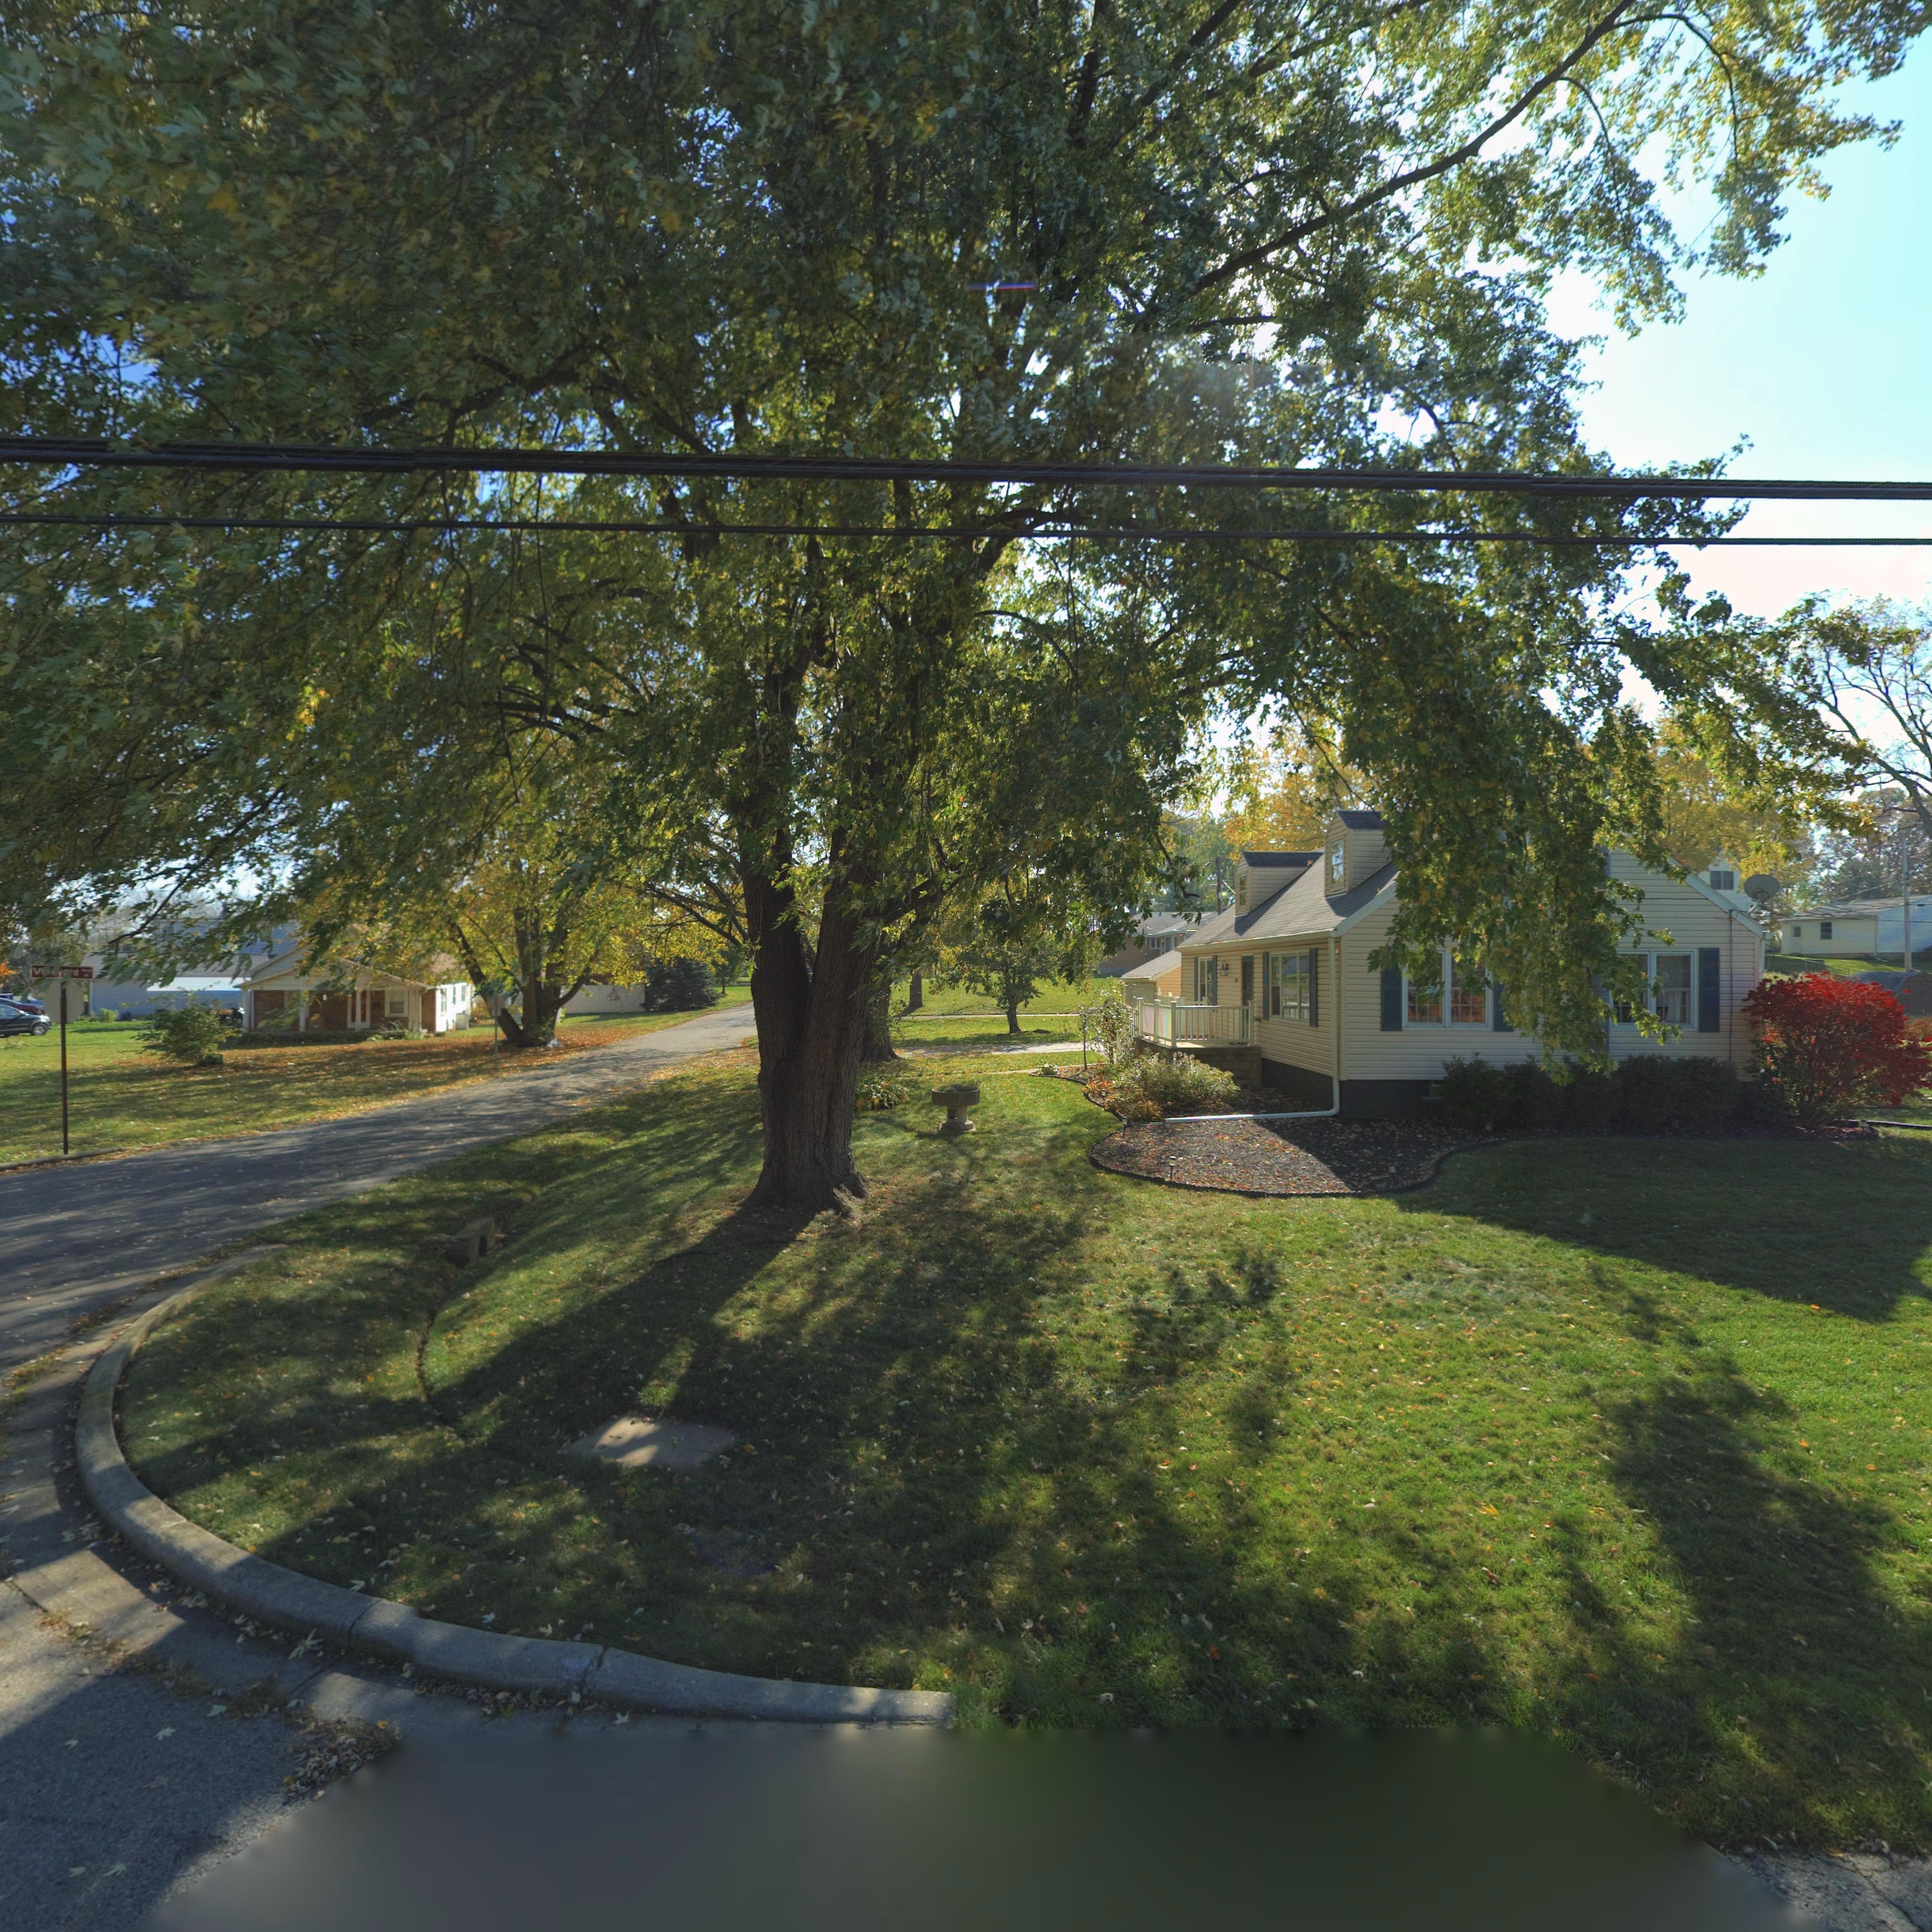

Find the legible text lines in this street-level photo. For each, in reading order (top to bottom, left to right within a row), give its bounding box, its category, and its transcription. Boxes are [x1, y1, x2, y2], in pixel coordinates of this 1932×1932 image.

[31, 966, 43, 976] StreetName: V
[72, 966, 80, 977] StreetName: d